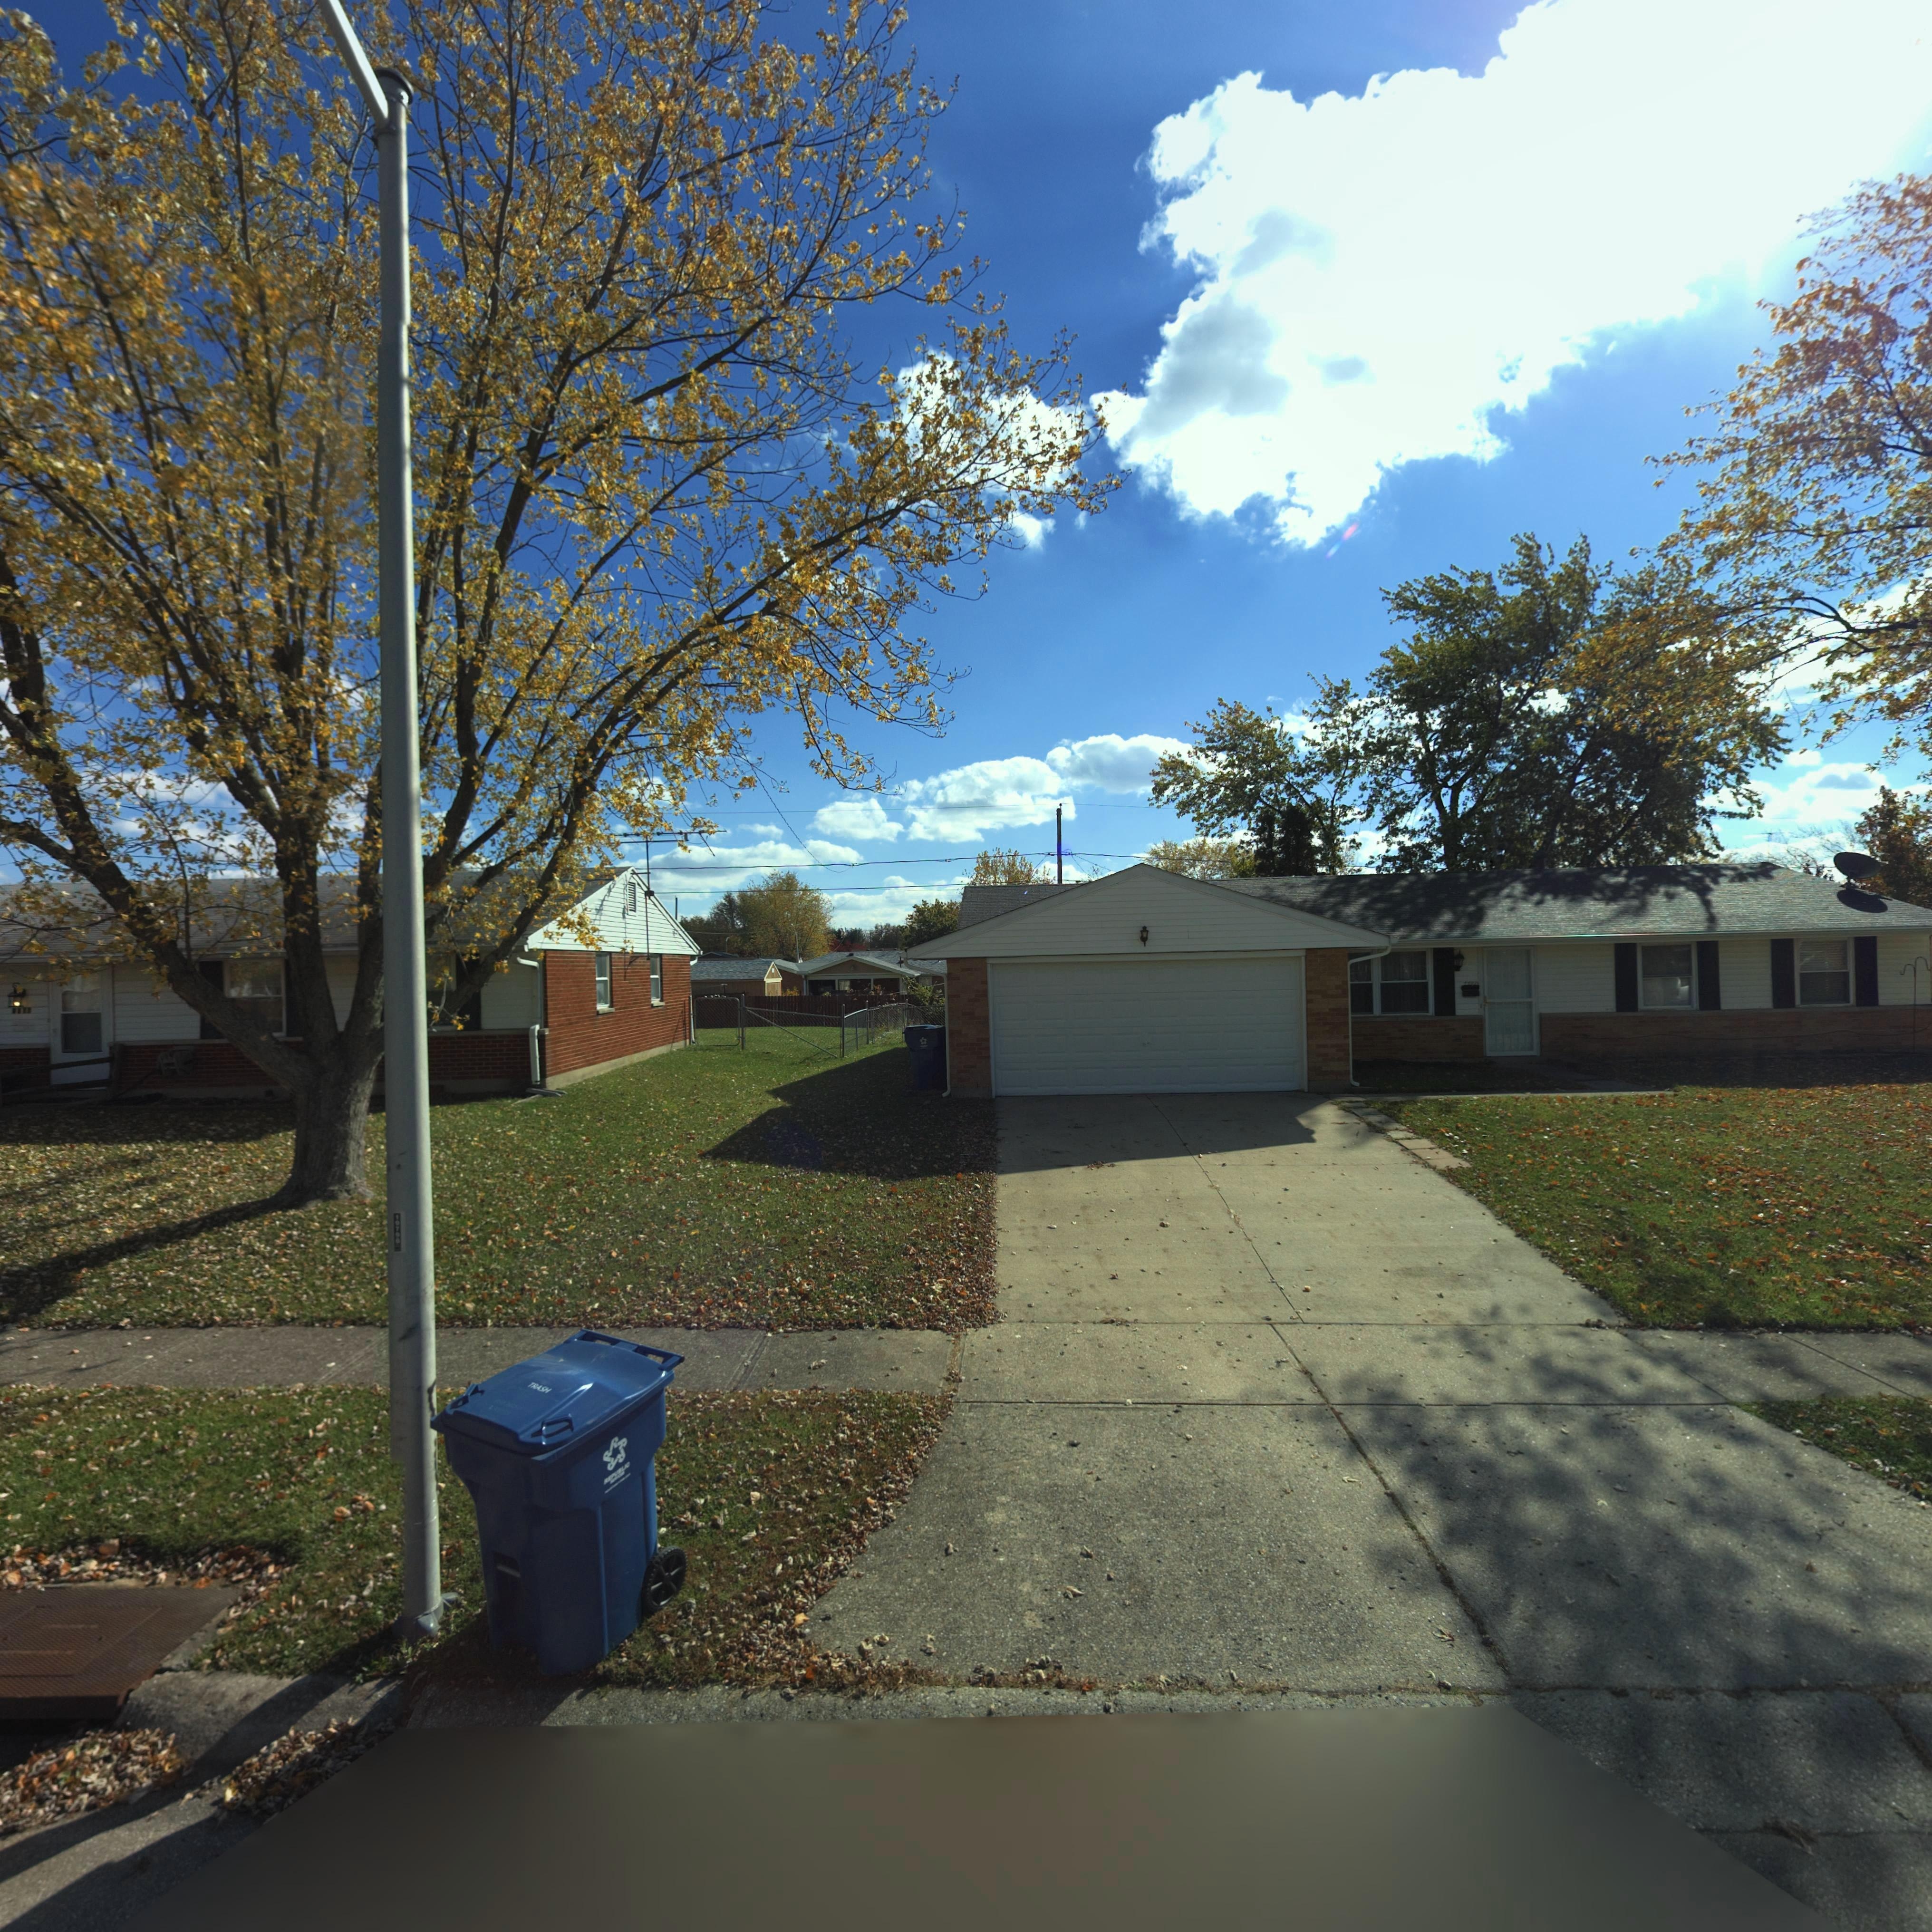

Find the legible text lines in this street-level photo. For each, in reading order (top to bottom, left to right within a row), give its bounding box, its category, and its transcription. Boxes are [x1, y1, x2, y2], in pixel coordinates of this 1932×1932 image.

[1463, 981, 1479, 986] StreetNumber: 77*0